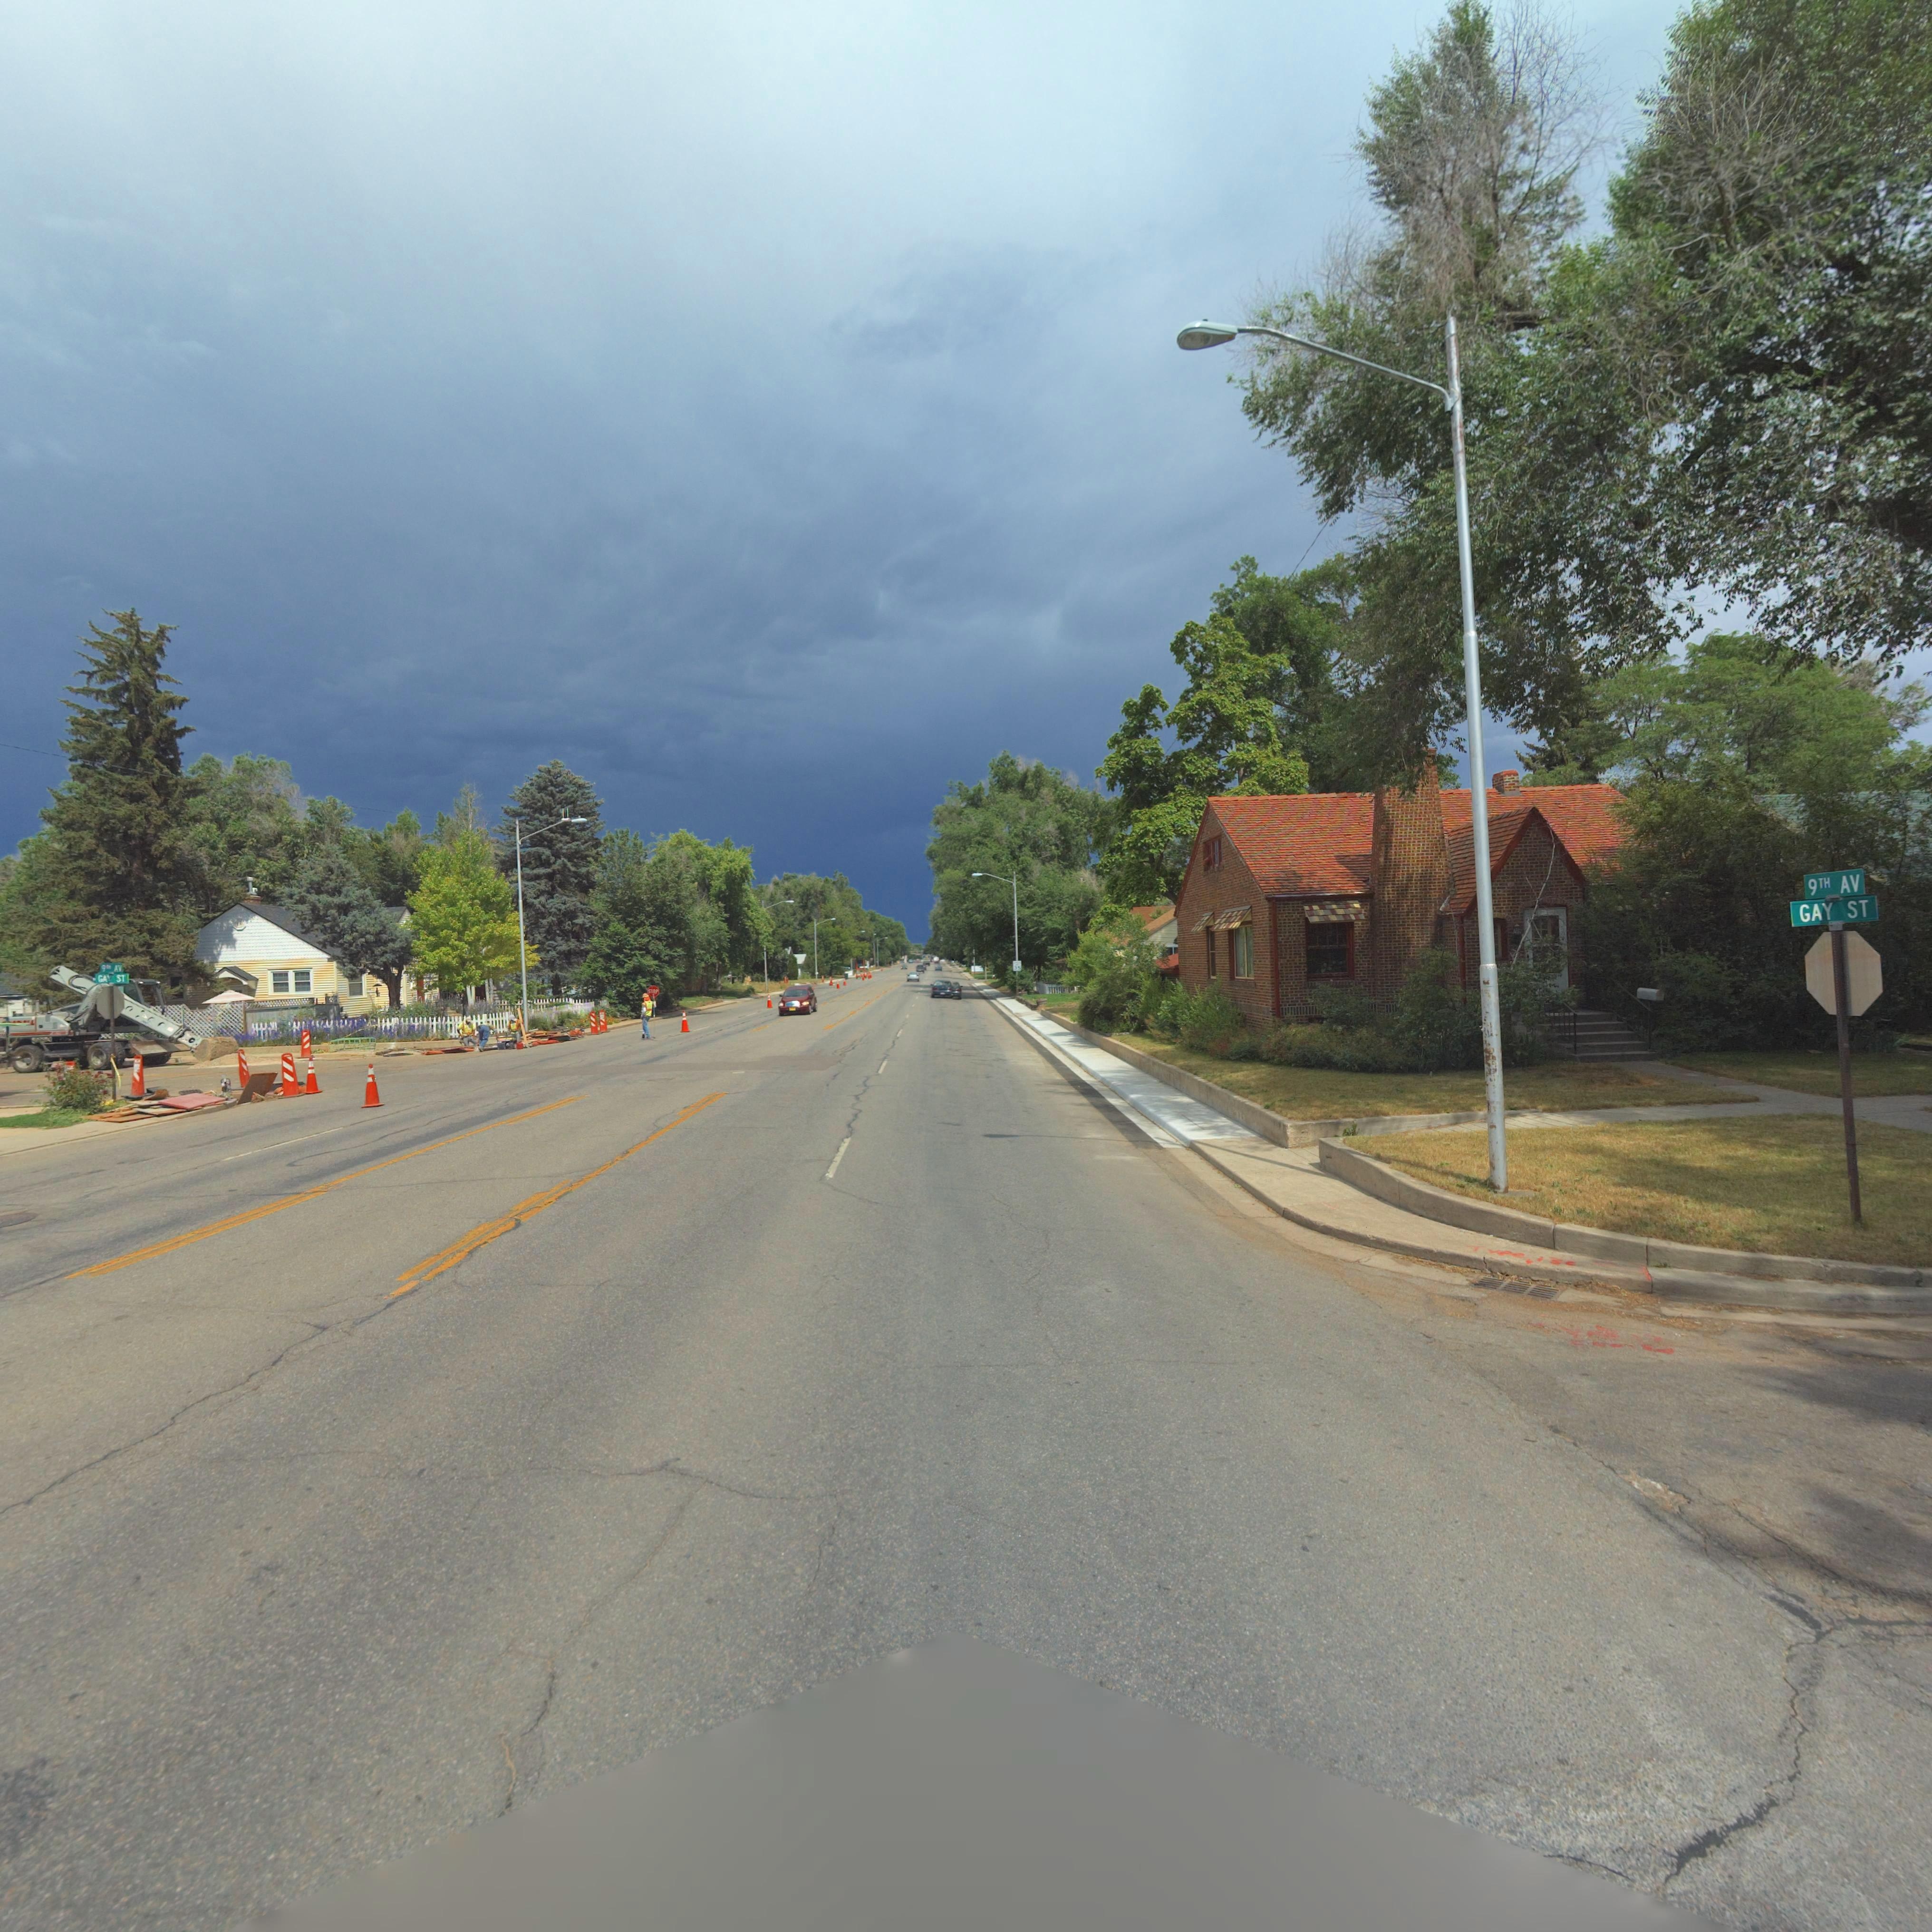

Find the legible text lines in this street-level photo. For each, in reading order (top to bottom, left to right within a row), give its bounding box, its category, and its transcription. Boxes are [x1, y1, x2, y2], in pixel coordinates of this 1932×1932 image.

[1807, 873, 1861, 897] StreetName: 9TH AV
[1797, 898, 1870, 923] StreetName: GAY ST
[101, 964, 123, 972] StreetName: 9** AV
[97, 974, 126, 982] StreetName: GAY ST